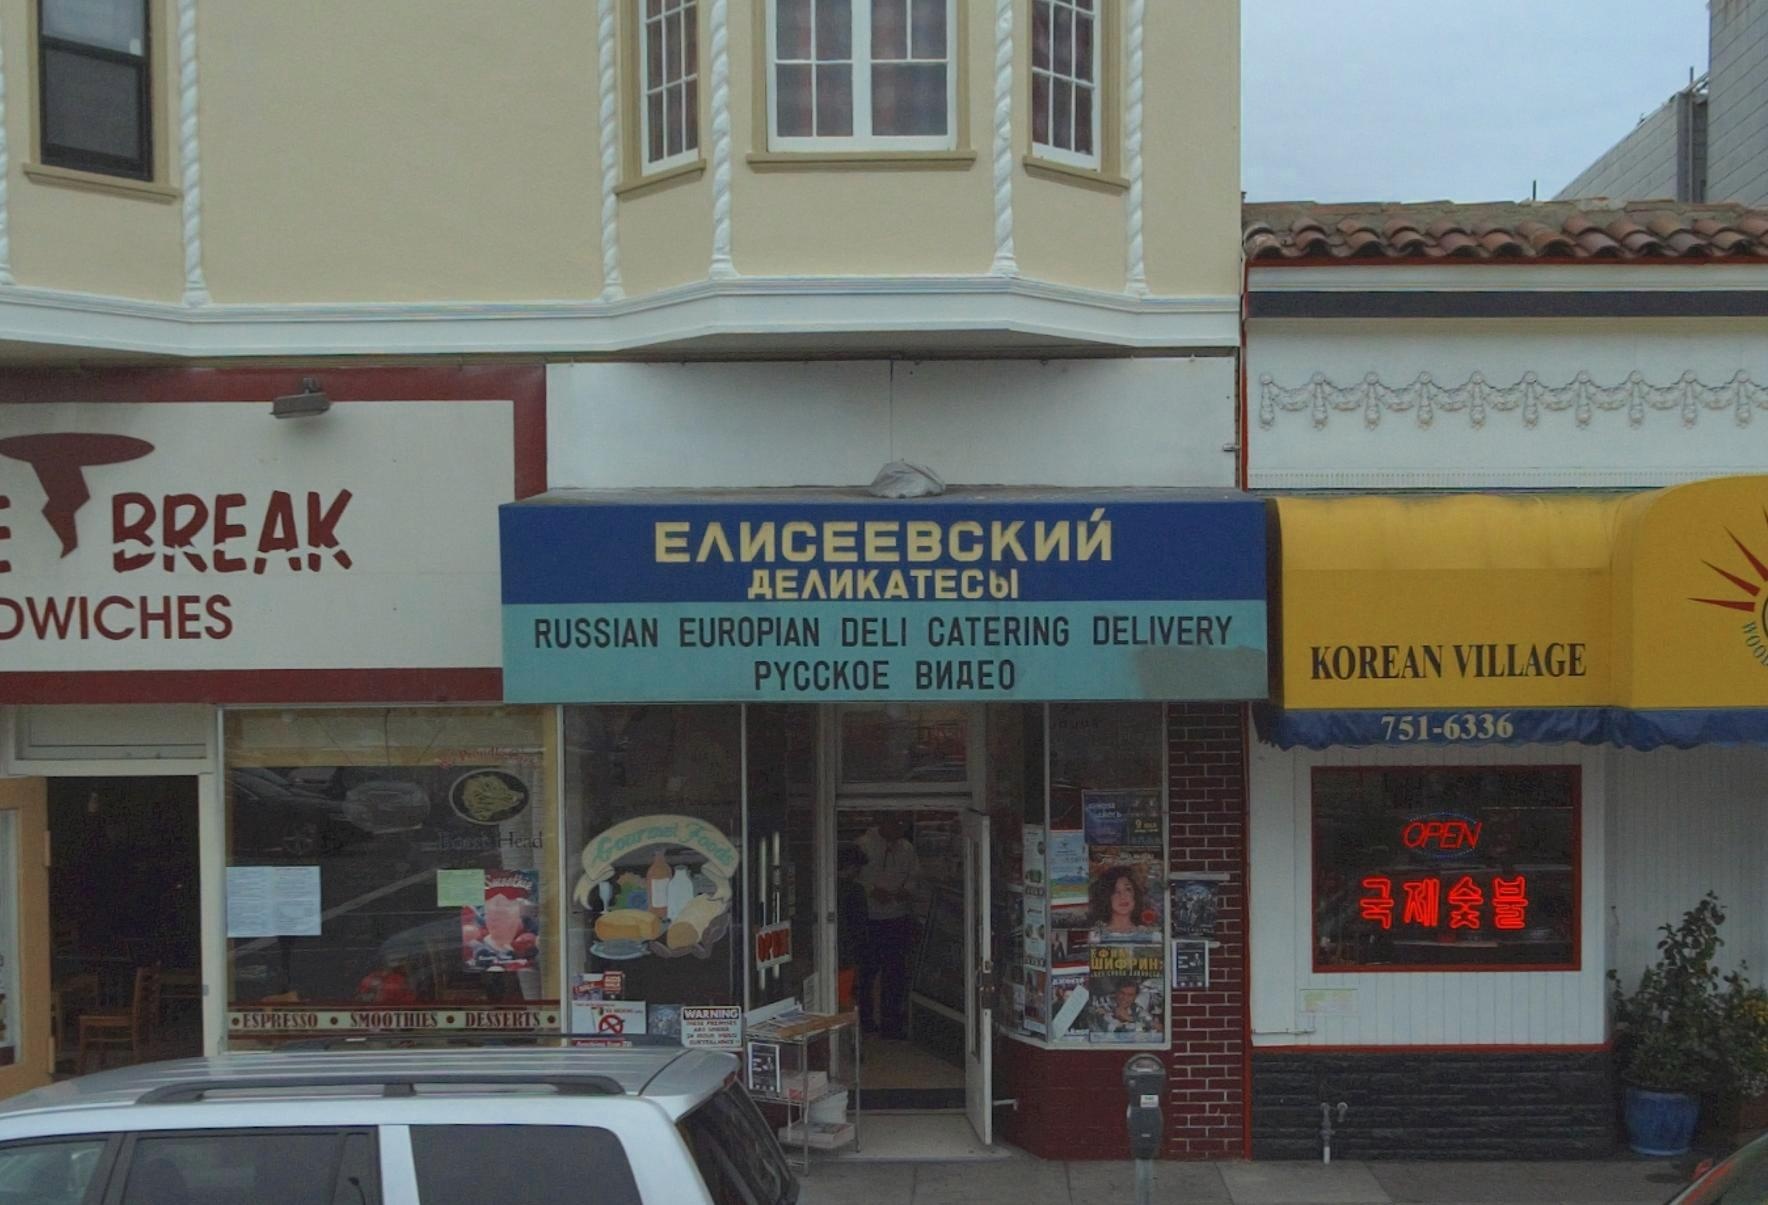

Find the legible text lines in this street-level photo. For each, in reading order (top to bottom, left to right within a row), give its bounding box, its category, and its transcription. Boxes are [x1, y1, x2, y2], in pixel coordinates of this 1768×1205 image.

[108, 485, 358, 578] BusinessName: BREAK
[652, 504, 1120, 567] BusinessName: E**CEEBCK**
[744, 565, 1020, 602] BusinessName: AE**KATECbl
[20, 590, 238, 644] BusinessName: WICHES
[531, 612, 1235, 650] None: RUSSIAN EUROPIAN DELI CATERING DELIVERY
[1739, 617, 1767, 661] None: WOO
[751, 657, 1018, 693] None: PYCCKOE B*AEO
[1307, 641, 1588, 682] None: KOREAN VILLAGE
[1377, 711, 1516, 743] None: 751-6336
[496, 829, 544, 851] None: Head
[588, 820, 737, 872] None: Gourmet Foods
[1399, 819, 1487, 850] None: OPEN
[482, 871, 535, 892] None: Smoothie
[241, 1008, 543, 1030] None: ESPRESSO*SMOOTHIES*DESSERTS
[683, 1008, 739, 1020] None: WARNING